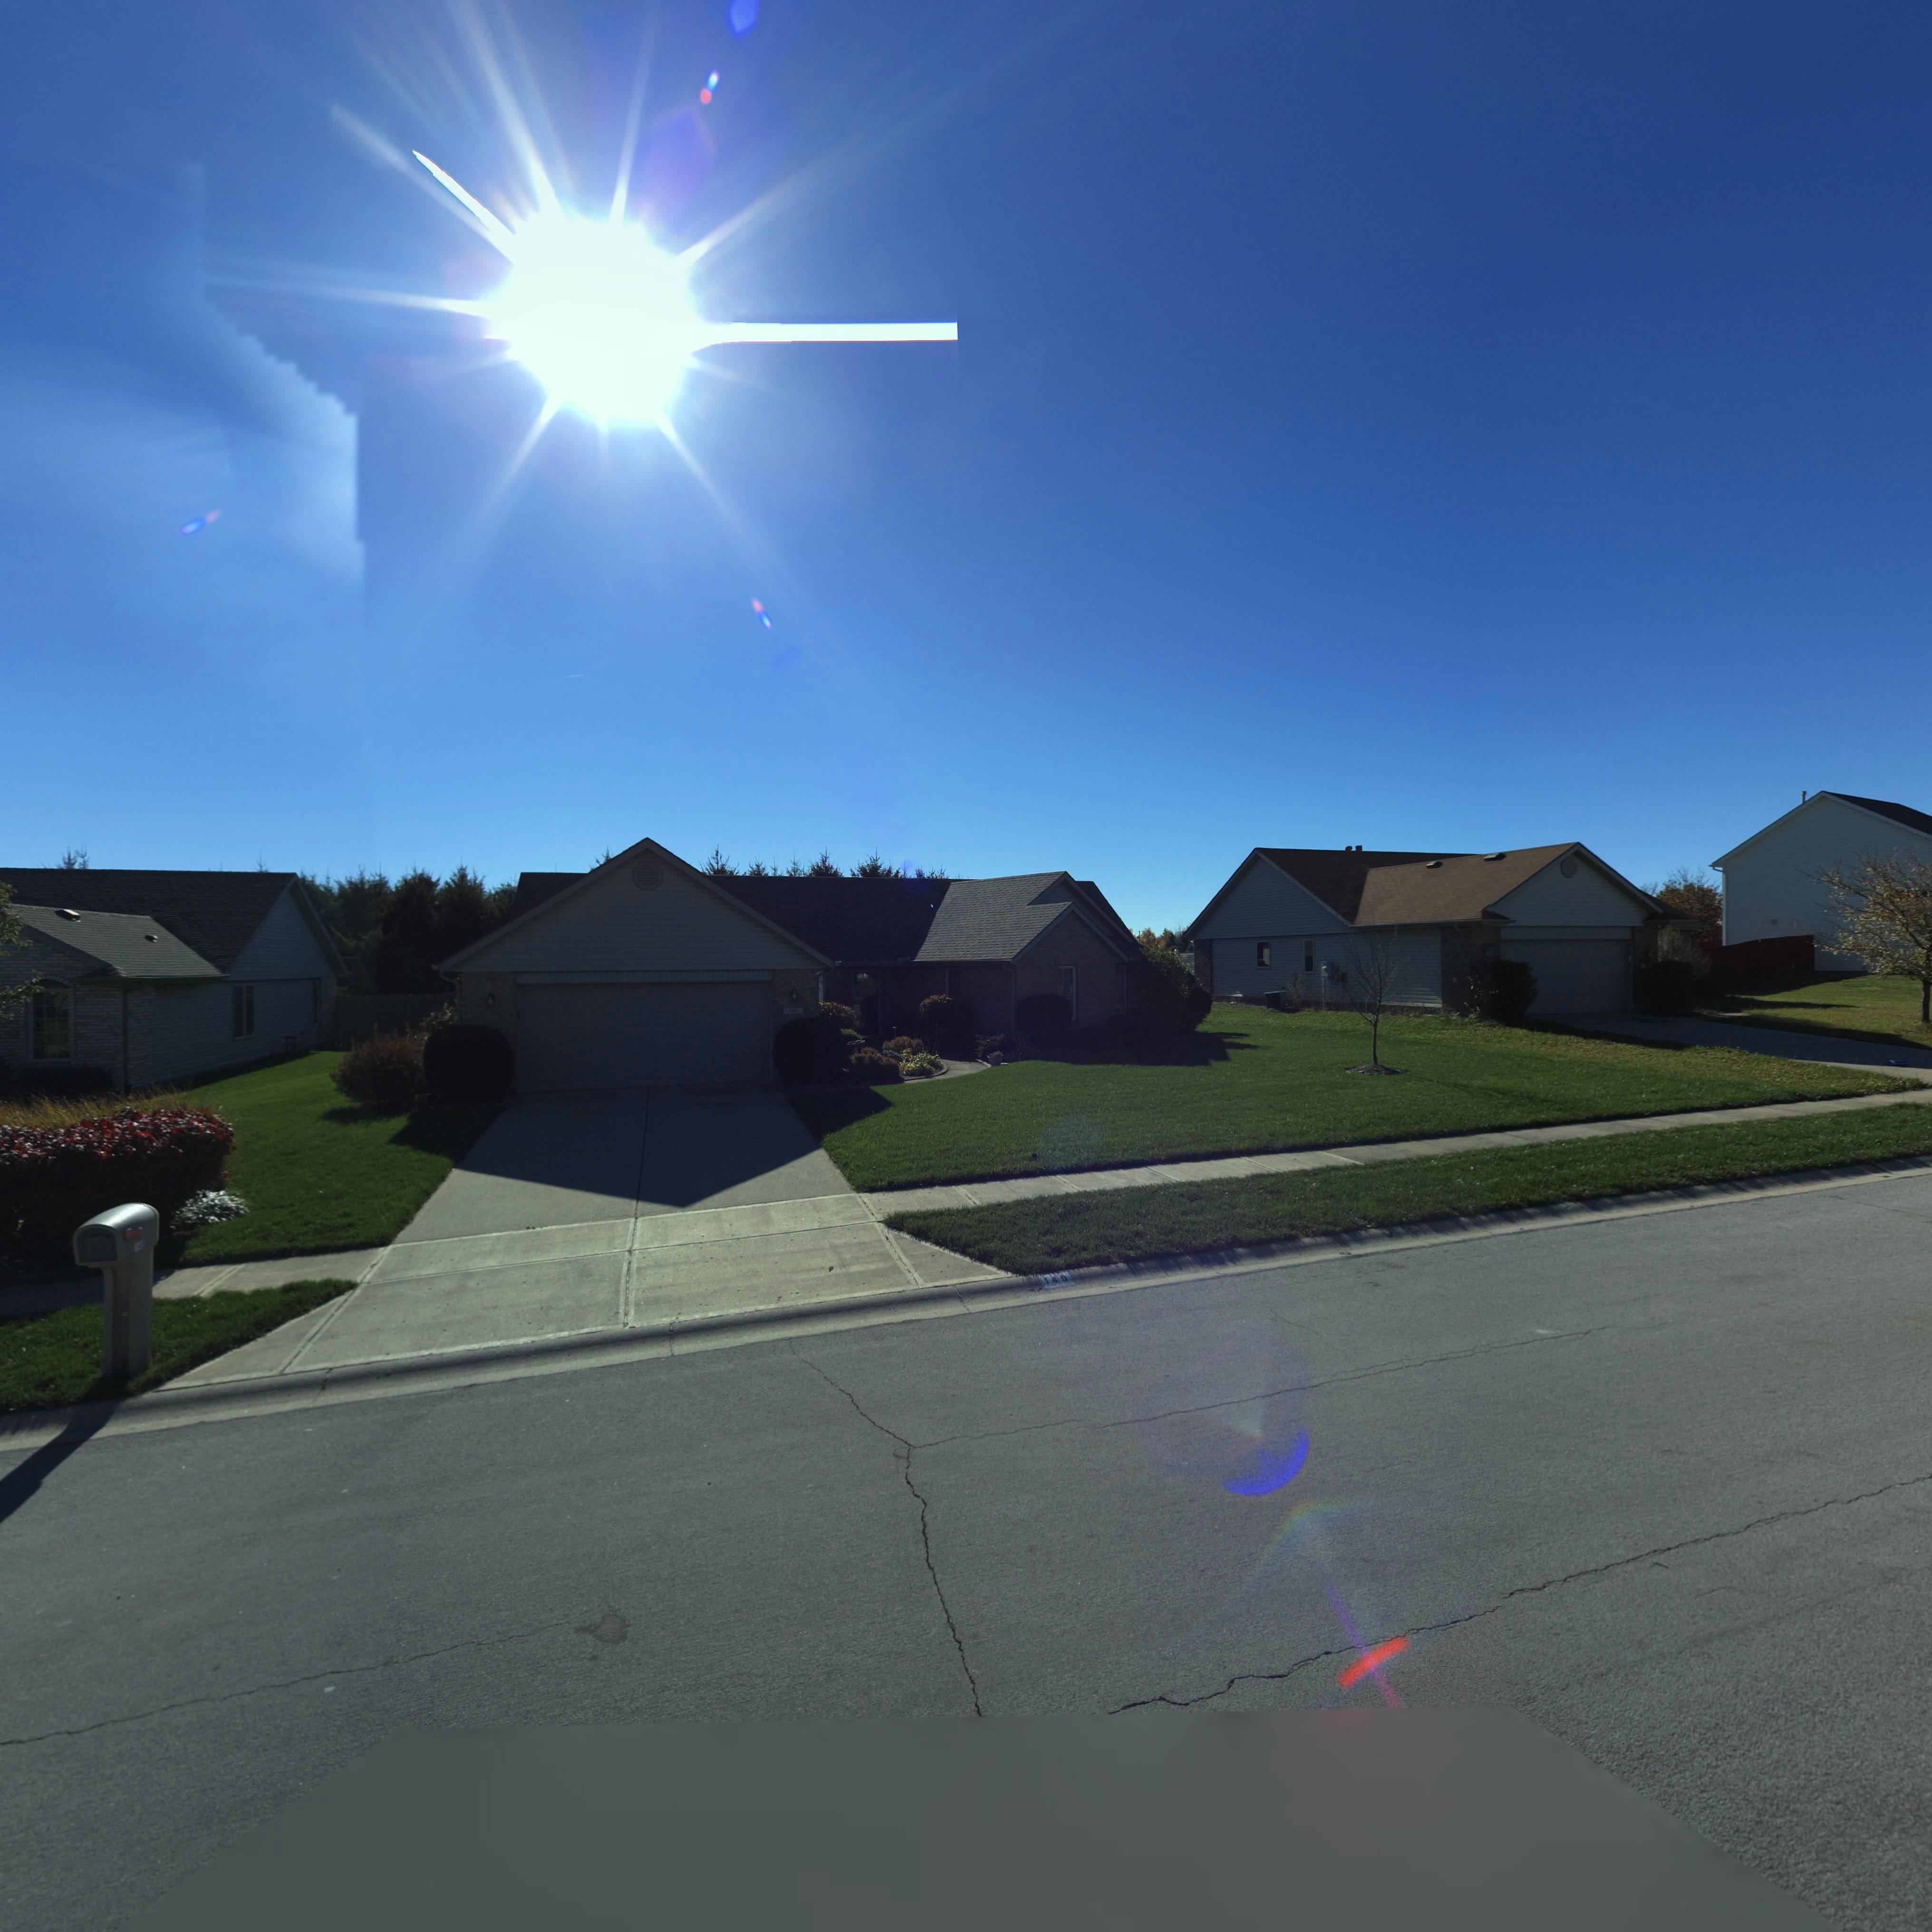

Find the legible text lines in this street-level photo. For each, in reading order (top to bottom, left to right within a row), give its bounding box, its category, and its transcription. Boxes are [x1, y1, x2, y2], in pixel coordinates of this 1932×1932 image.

[789, 1008, 797, 1014] StreetNumber: 1**
[133, 1239, 146, 1251] StreetNumber: 14*
[1043, 1275, 1069, 1285] StreetNumber: 149